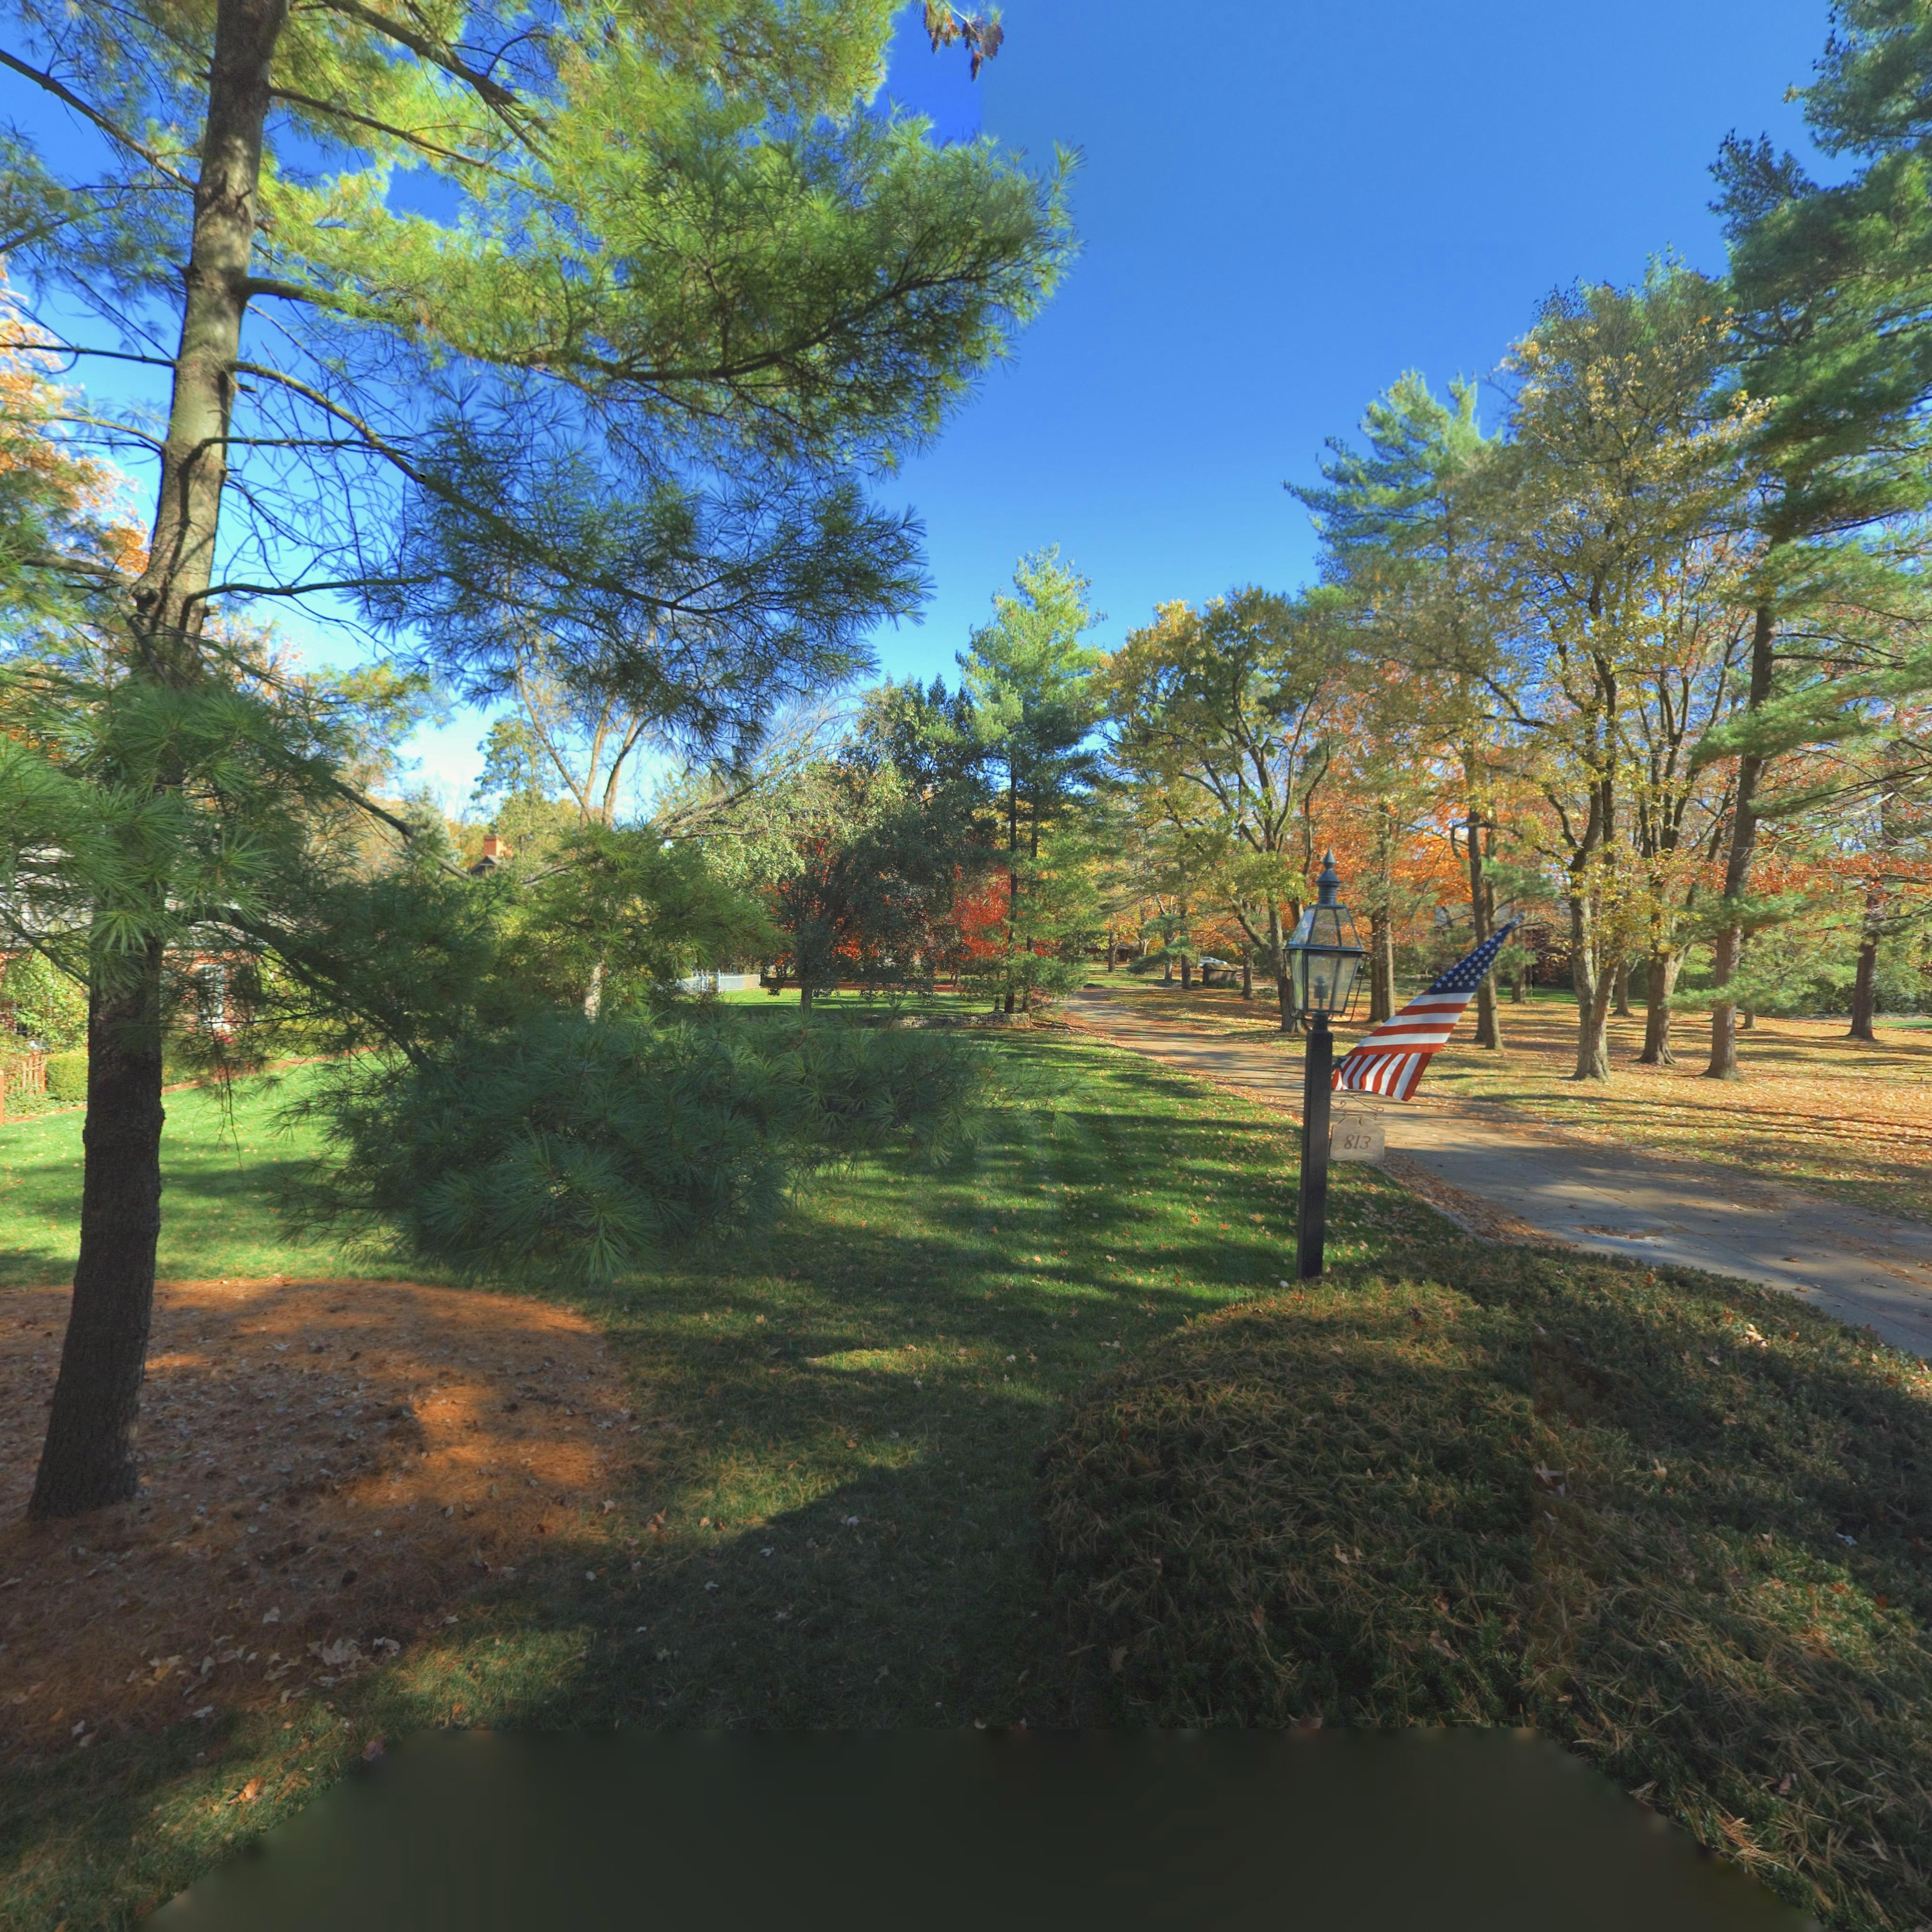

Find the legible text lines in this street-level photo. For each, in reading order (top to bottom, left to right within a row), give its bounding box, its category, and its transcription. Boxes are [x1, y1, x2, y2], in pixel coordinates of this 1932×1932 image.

[1343, 1133, 1372, 1150] StreetNumber: 813